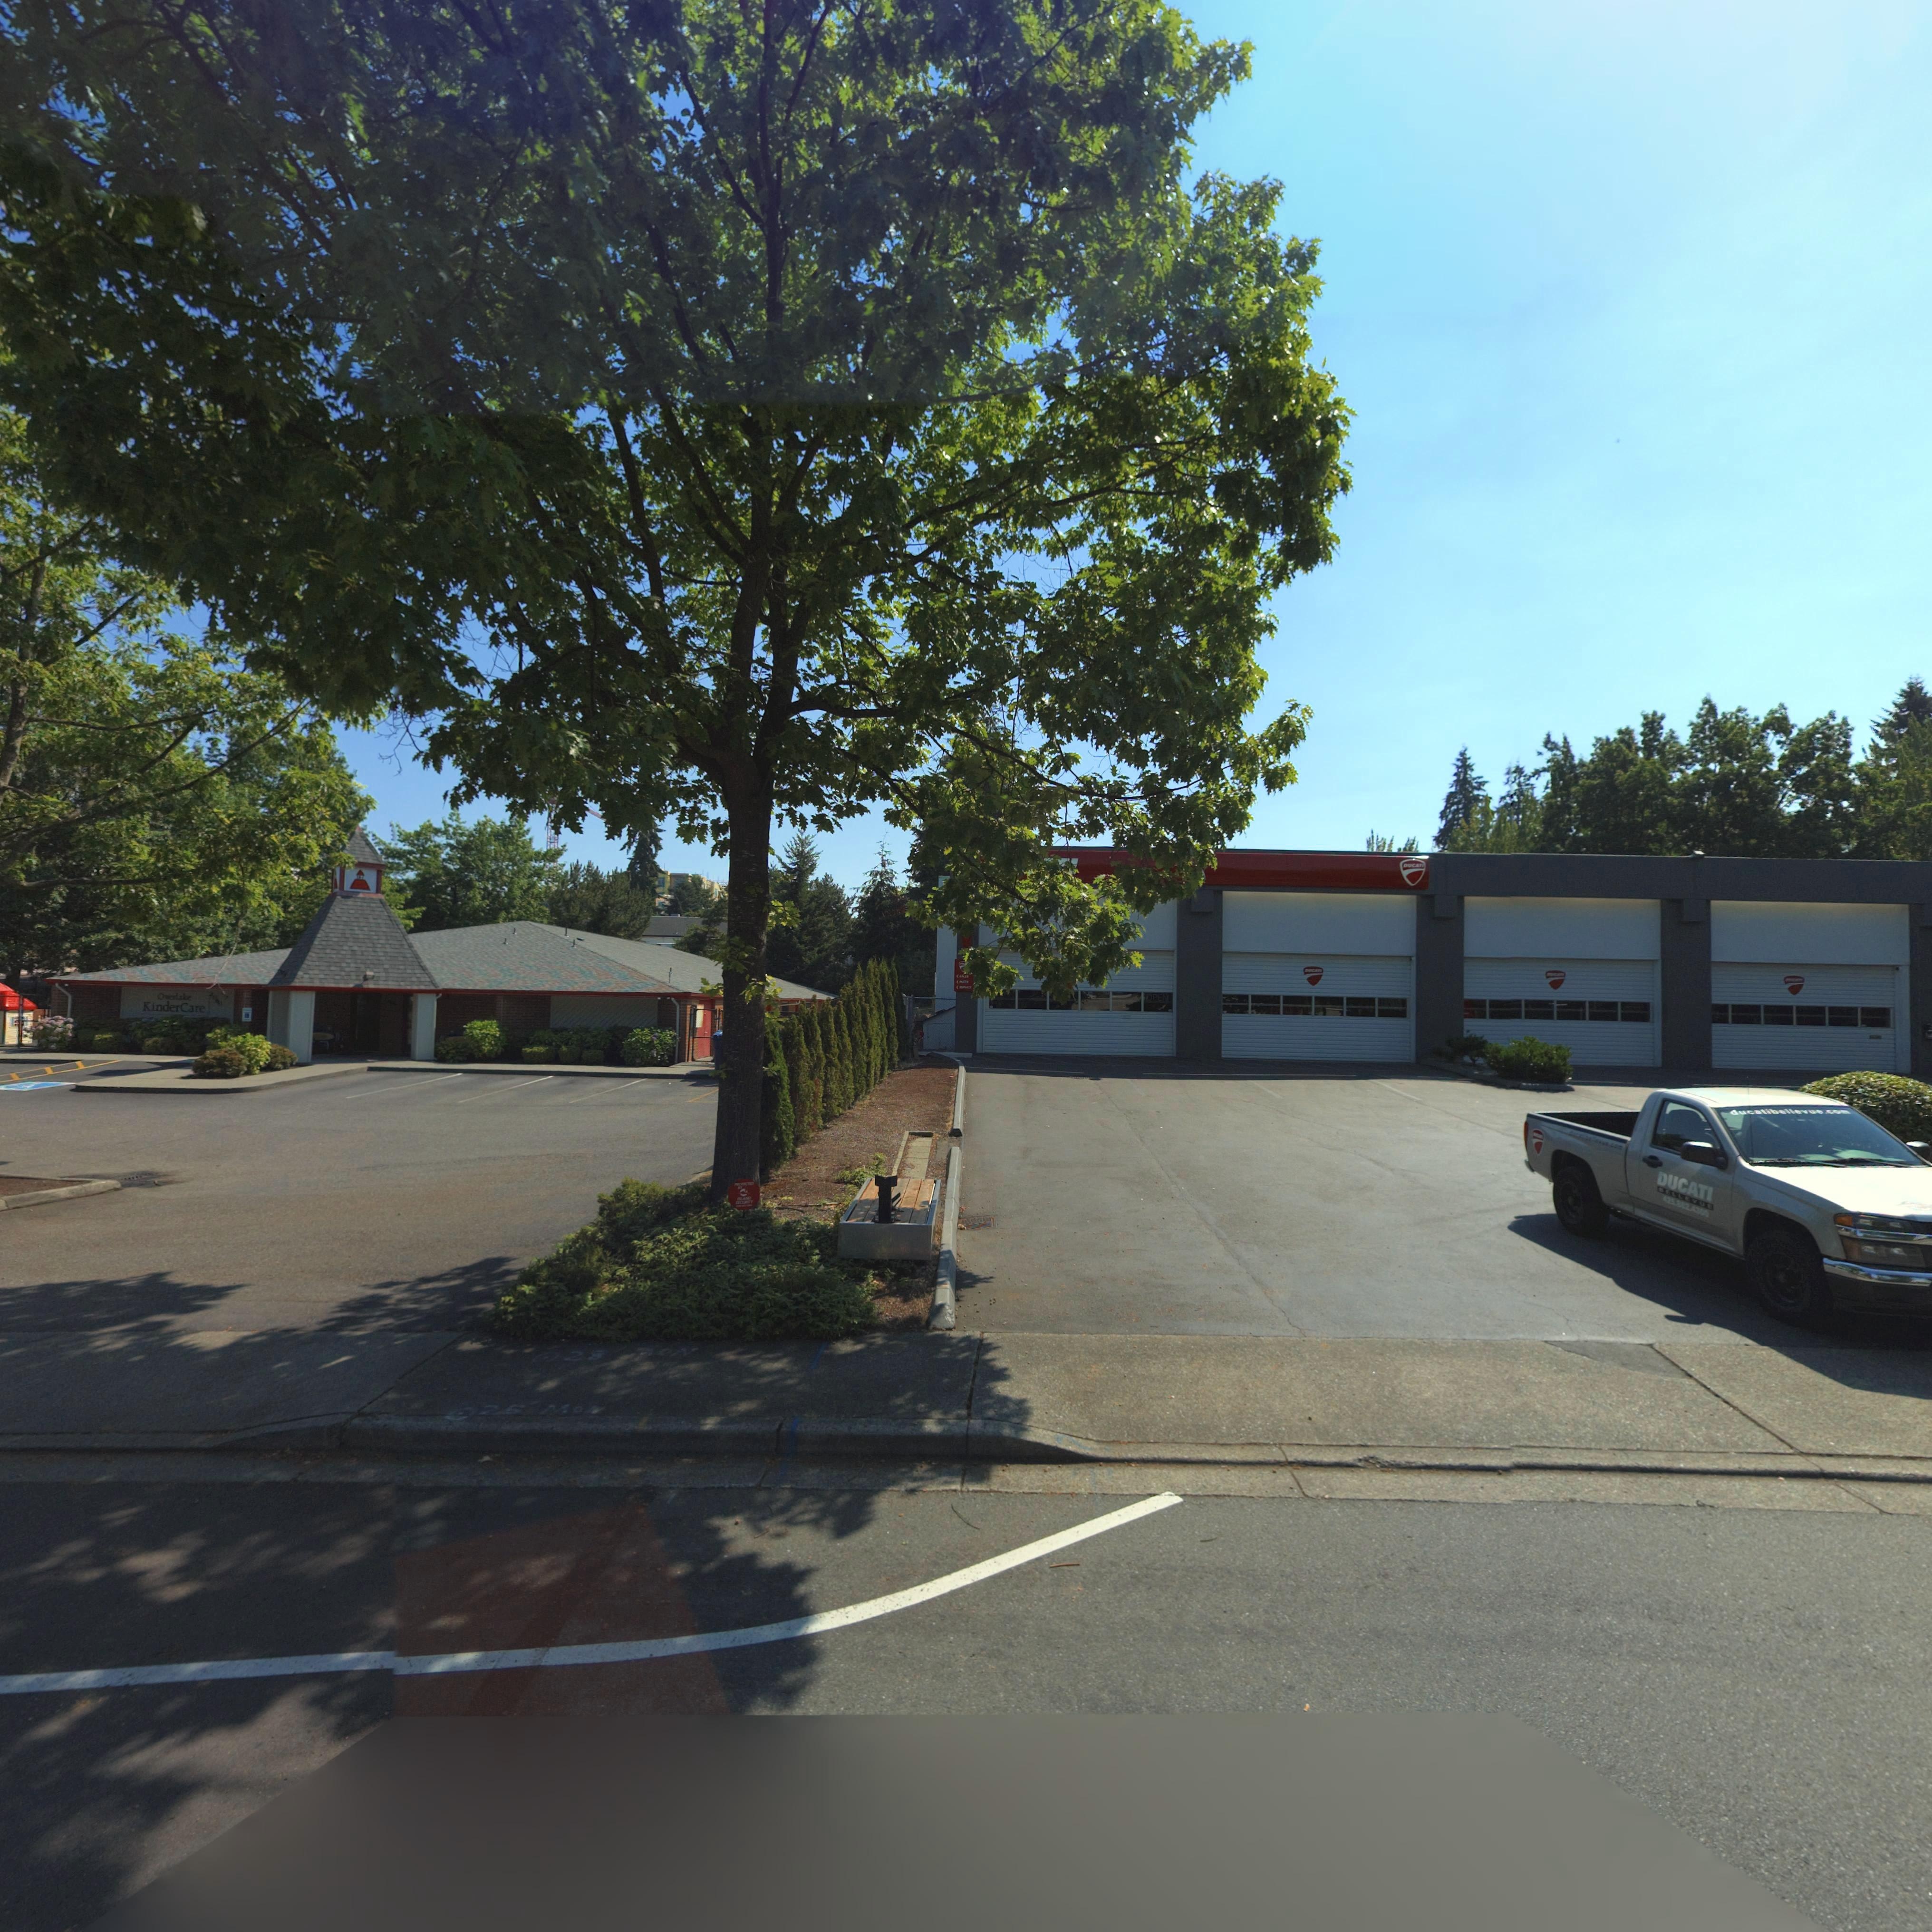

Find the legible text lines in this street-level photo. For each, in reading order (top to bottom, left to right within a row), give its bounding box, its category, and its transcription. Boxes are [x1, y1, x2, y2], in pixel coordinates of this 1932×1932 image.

[156, 992, 192, 1001] BusinessName: Overlake
[143, 1001, 205, 1013] BusinessName: KinderCare